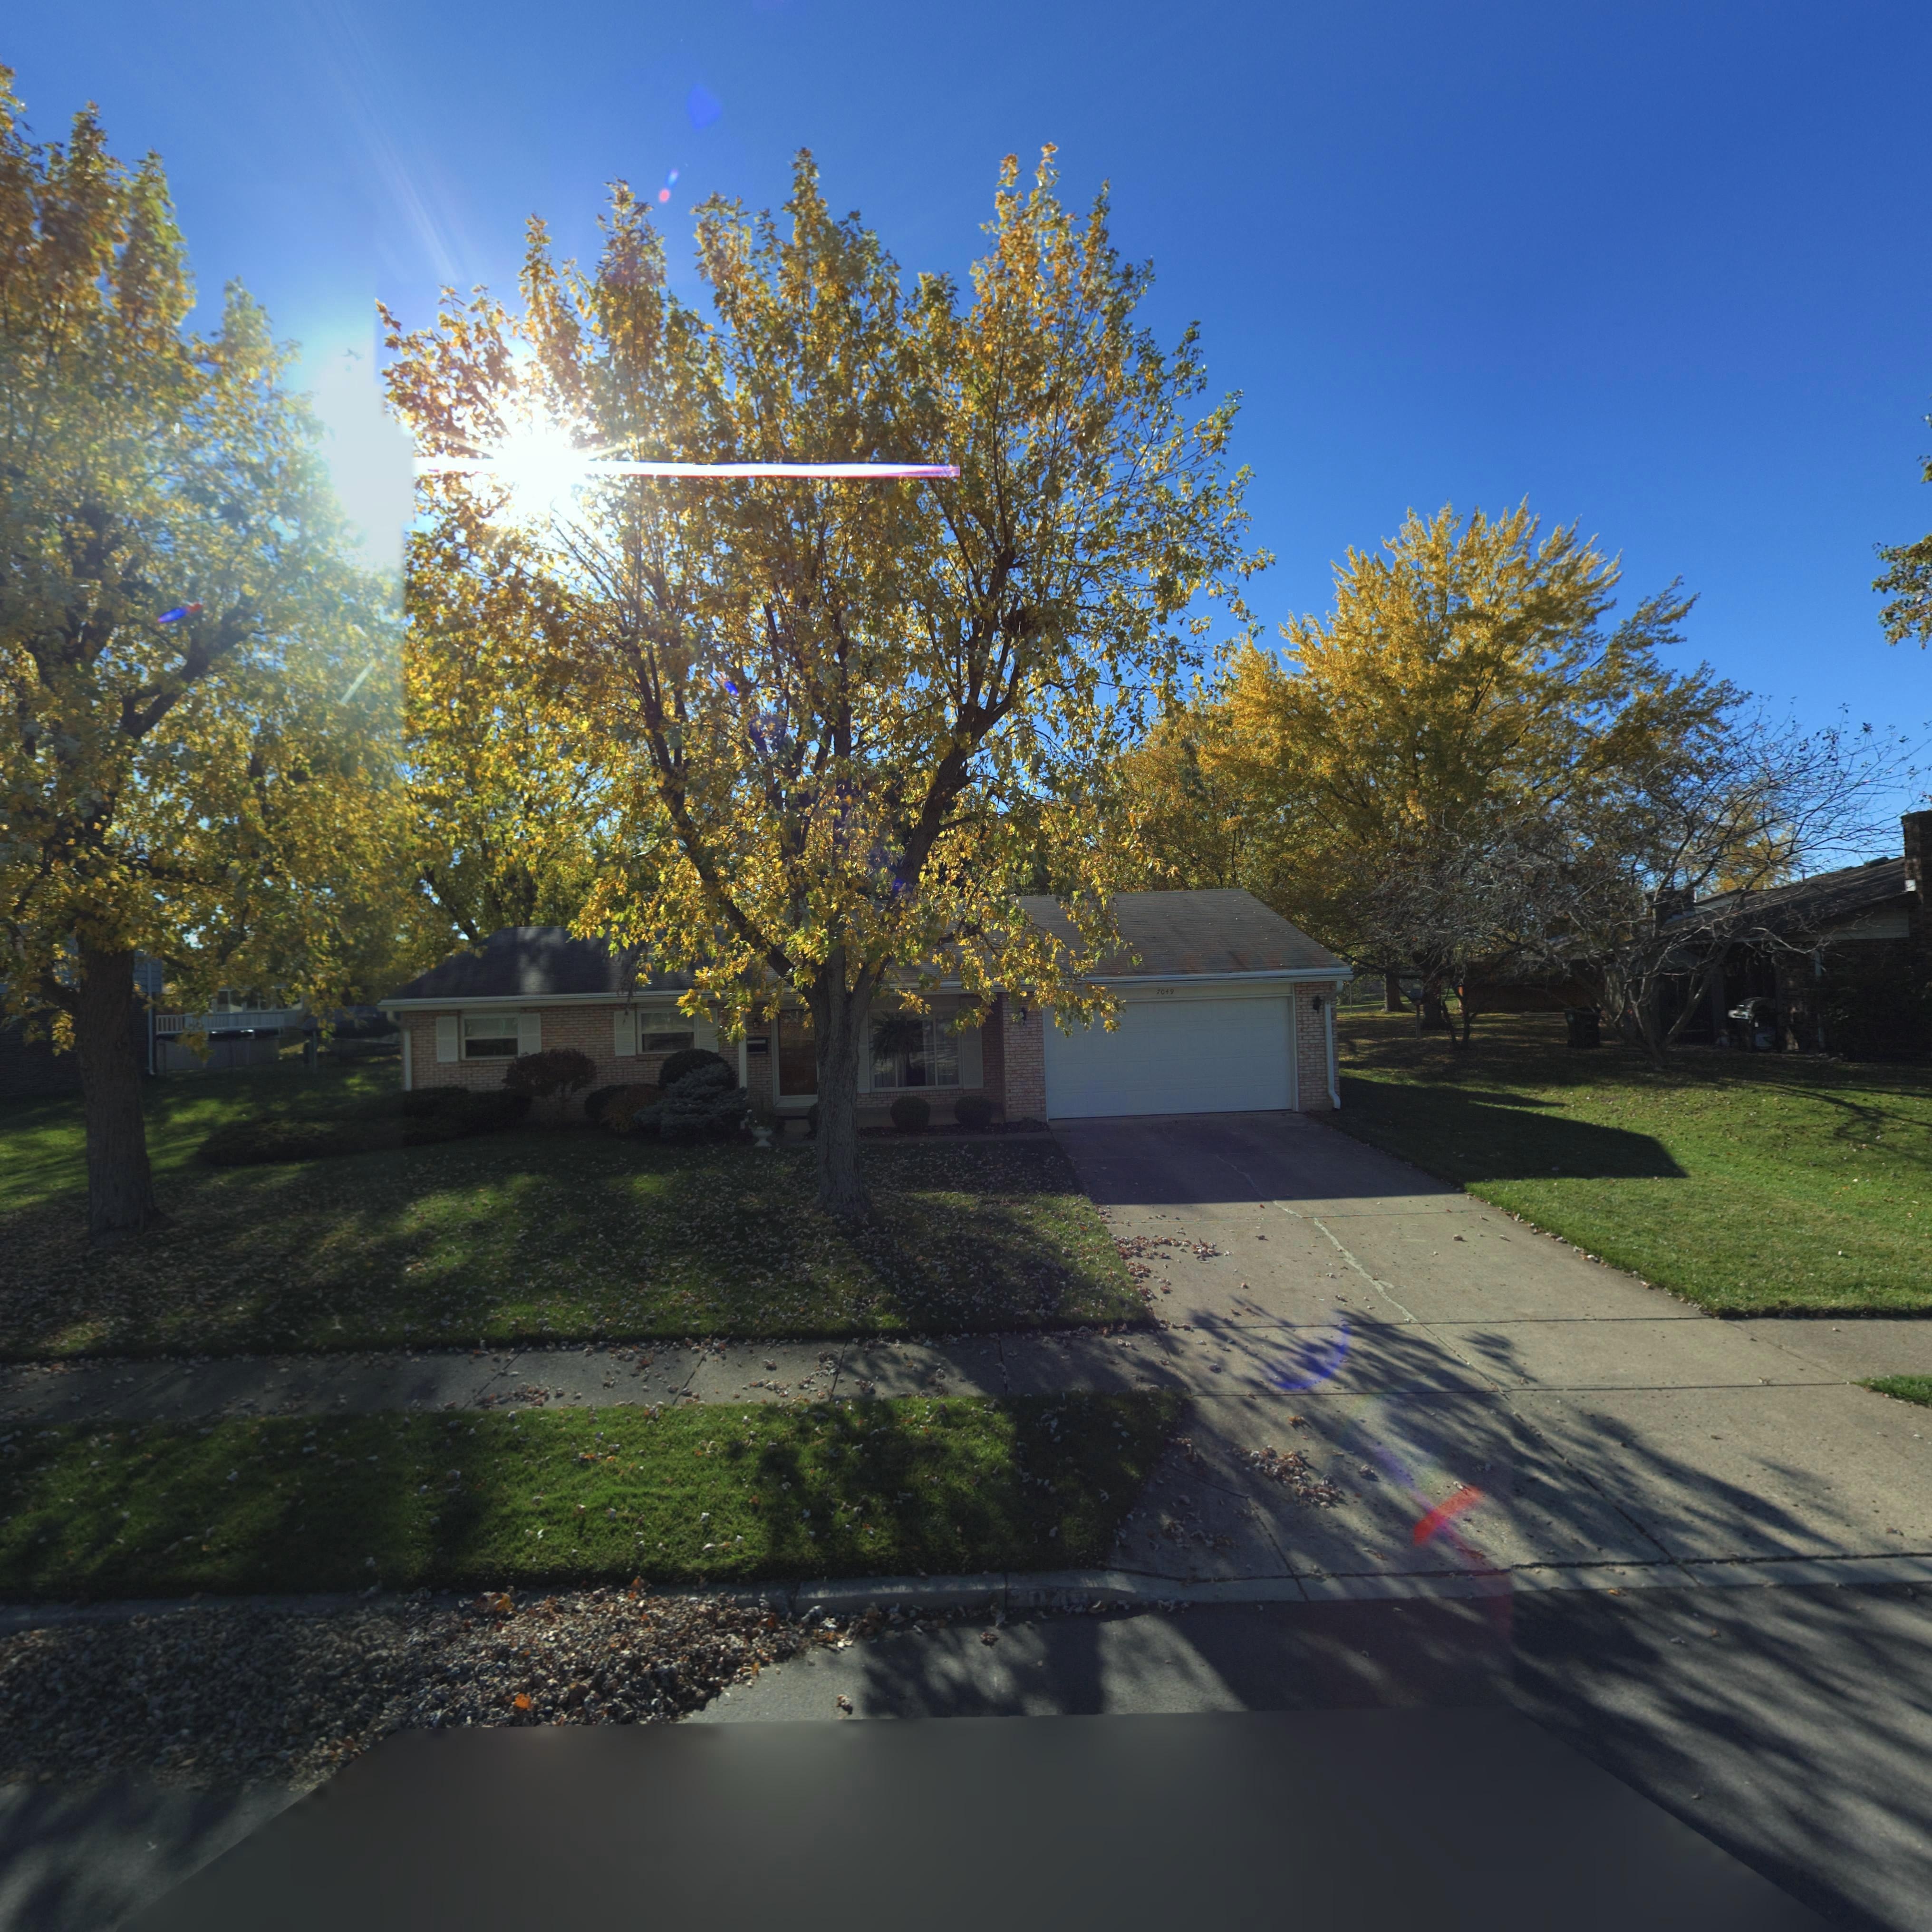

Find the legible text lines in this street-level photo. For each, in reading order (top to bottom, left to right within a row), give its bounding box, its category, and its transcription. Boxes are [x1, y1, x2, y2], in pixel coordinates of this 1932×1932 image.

[1156, 988, 1175, 995] StreetNumber: 7049
[1008, 1587, 1092, 1609] StreetNumber: 704*